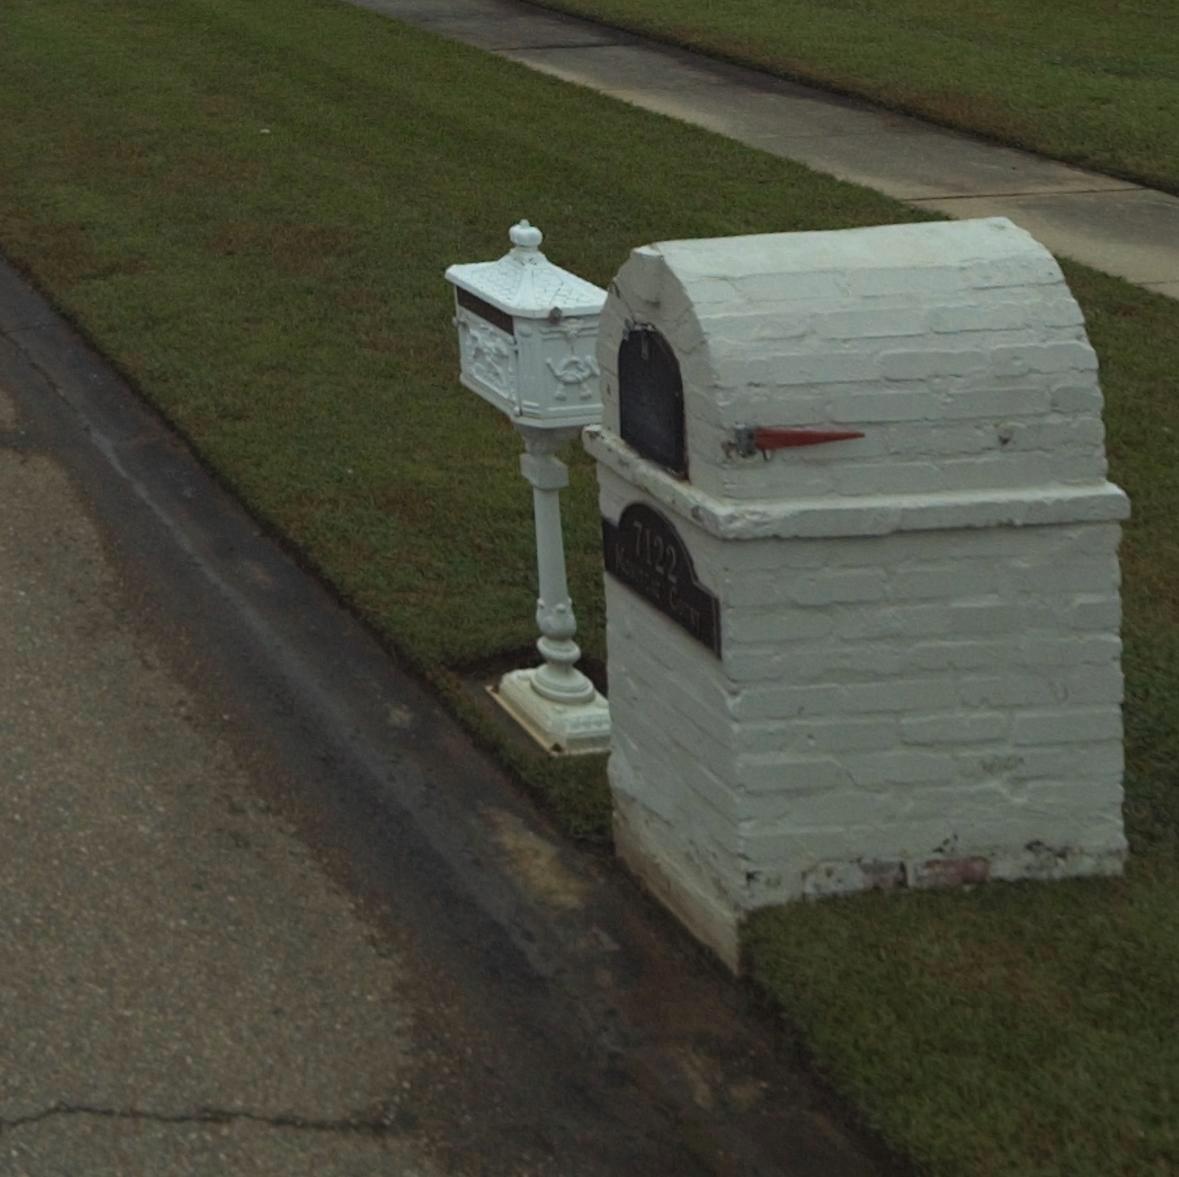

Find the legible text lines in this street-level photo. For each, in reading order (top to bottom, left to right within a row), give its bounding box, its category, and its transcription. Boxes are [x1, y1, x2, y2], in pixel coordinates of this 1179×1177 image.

[630, 515, 680, 588] StreetNumber: 7122